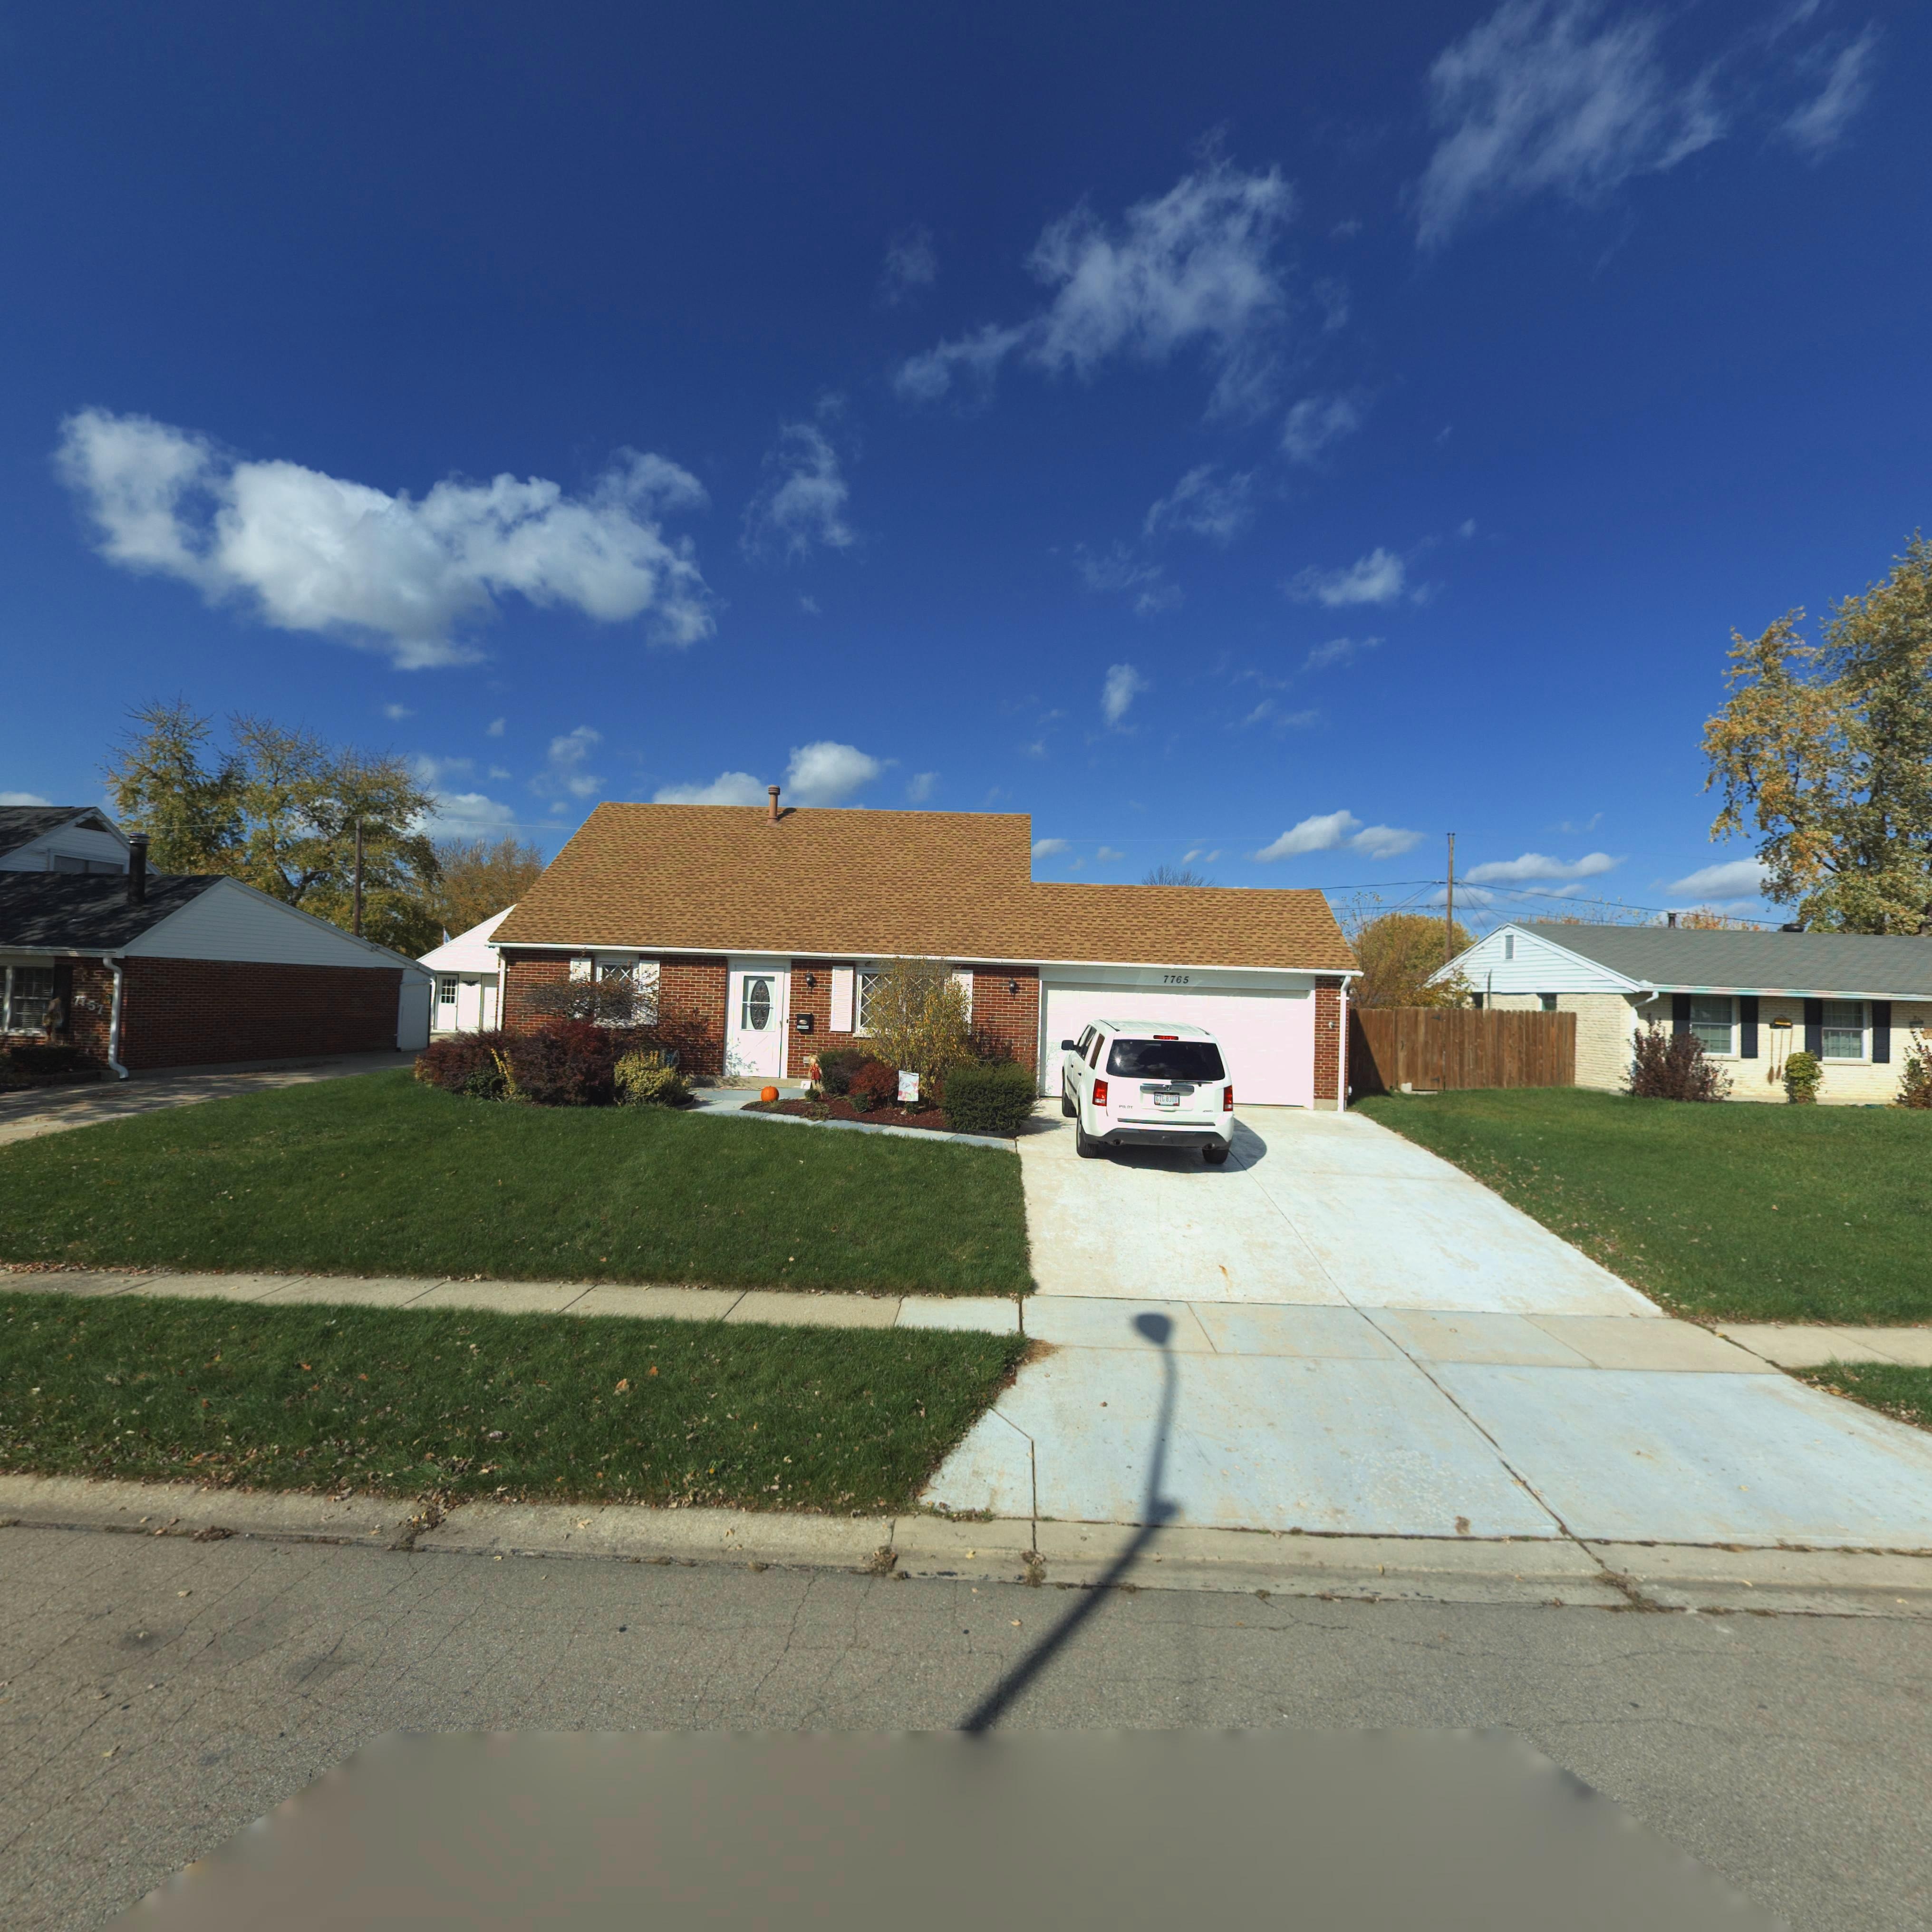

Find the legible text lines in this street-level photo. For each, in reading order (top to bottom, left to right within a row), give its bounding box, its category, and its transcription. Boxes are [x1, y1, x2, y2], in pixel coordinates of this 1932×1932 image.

[1163, 975, 1190, 984] StreetNumber: 7765
[74, 995, 105, 1015] StreetNumber: 7757